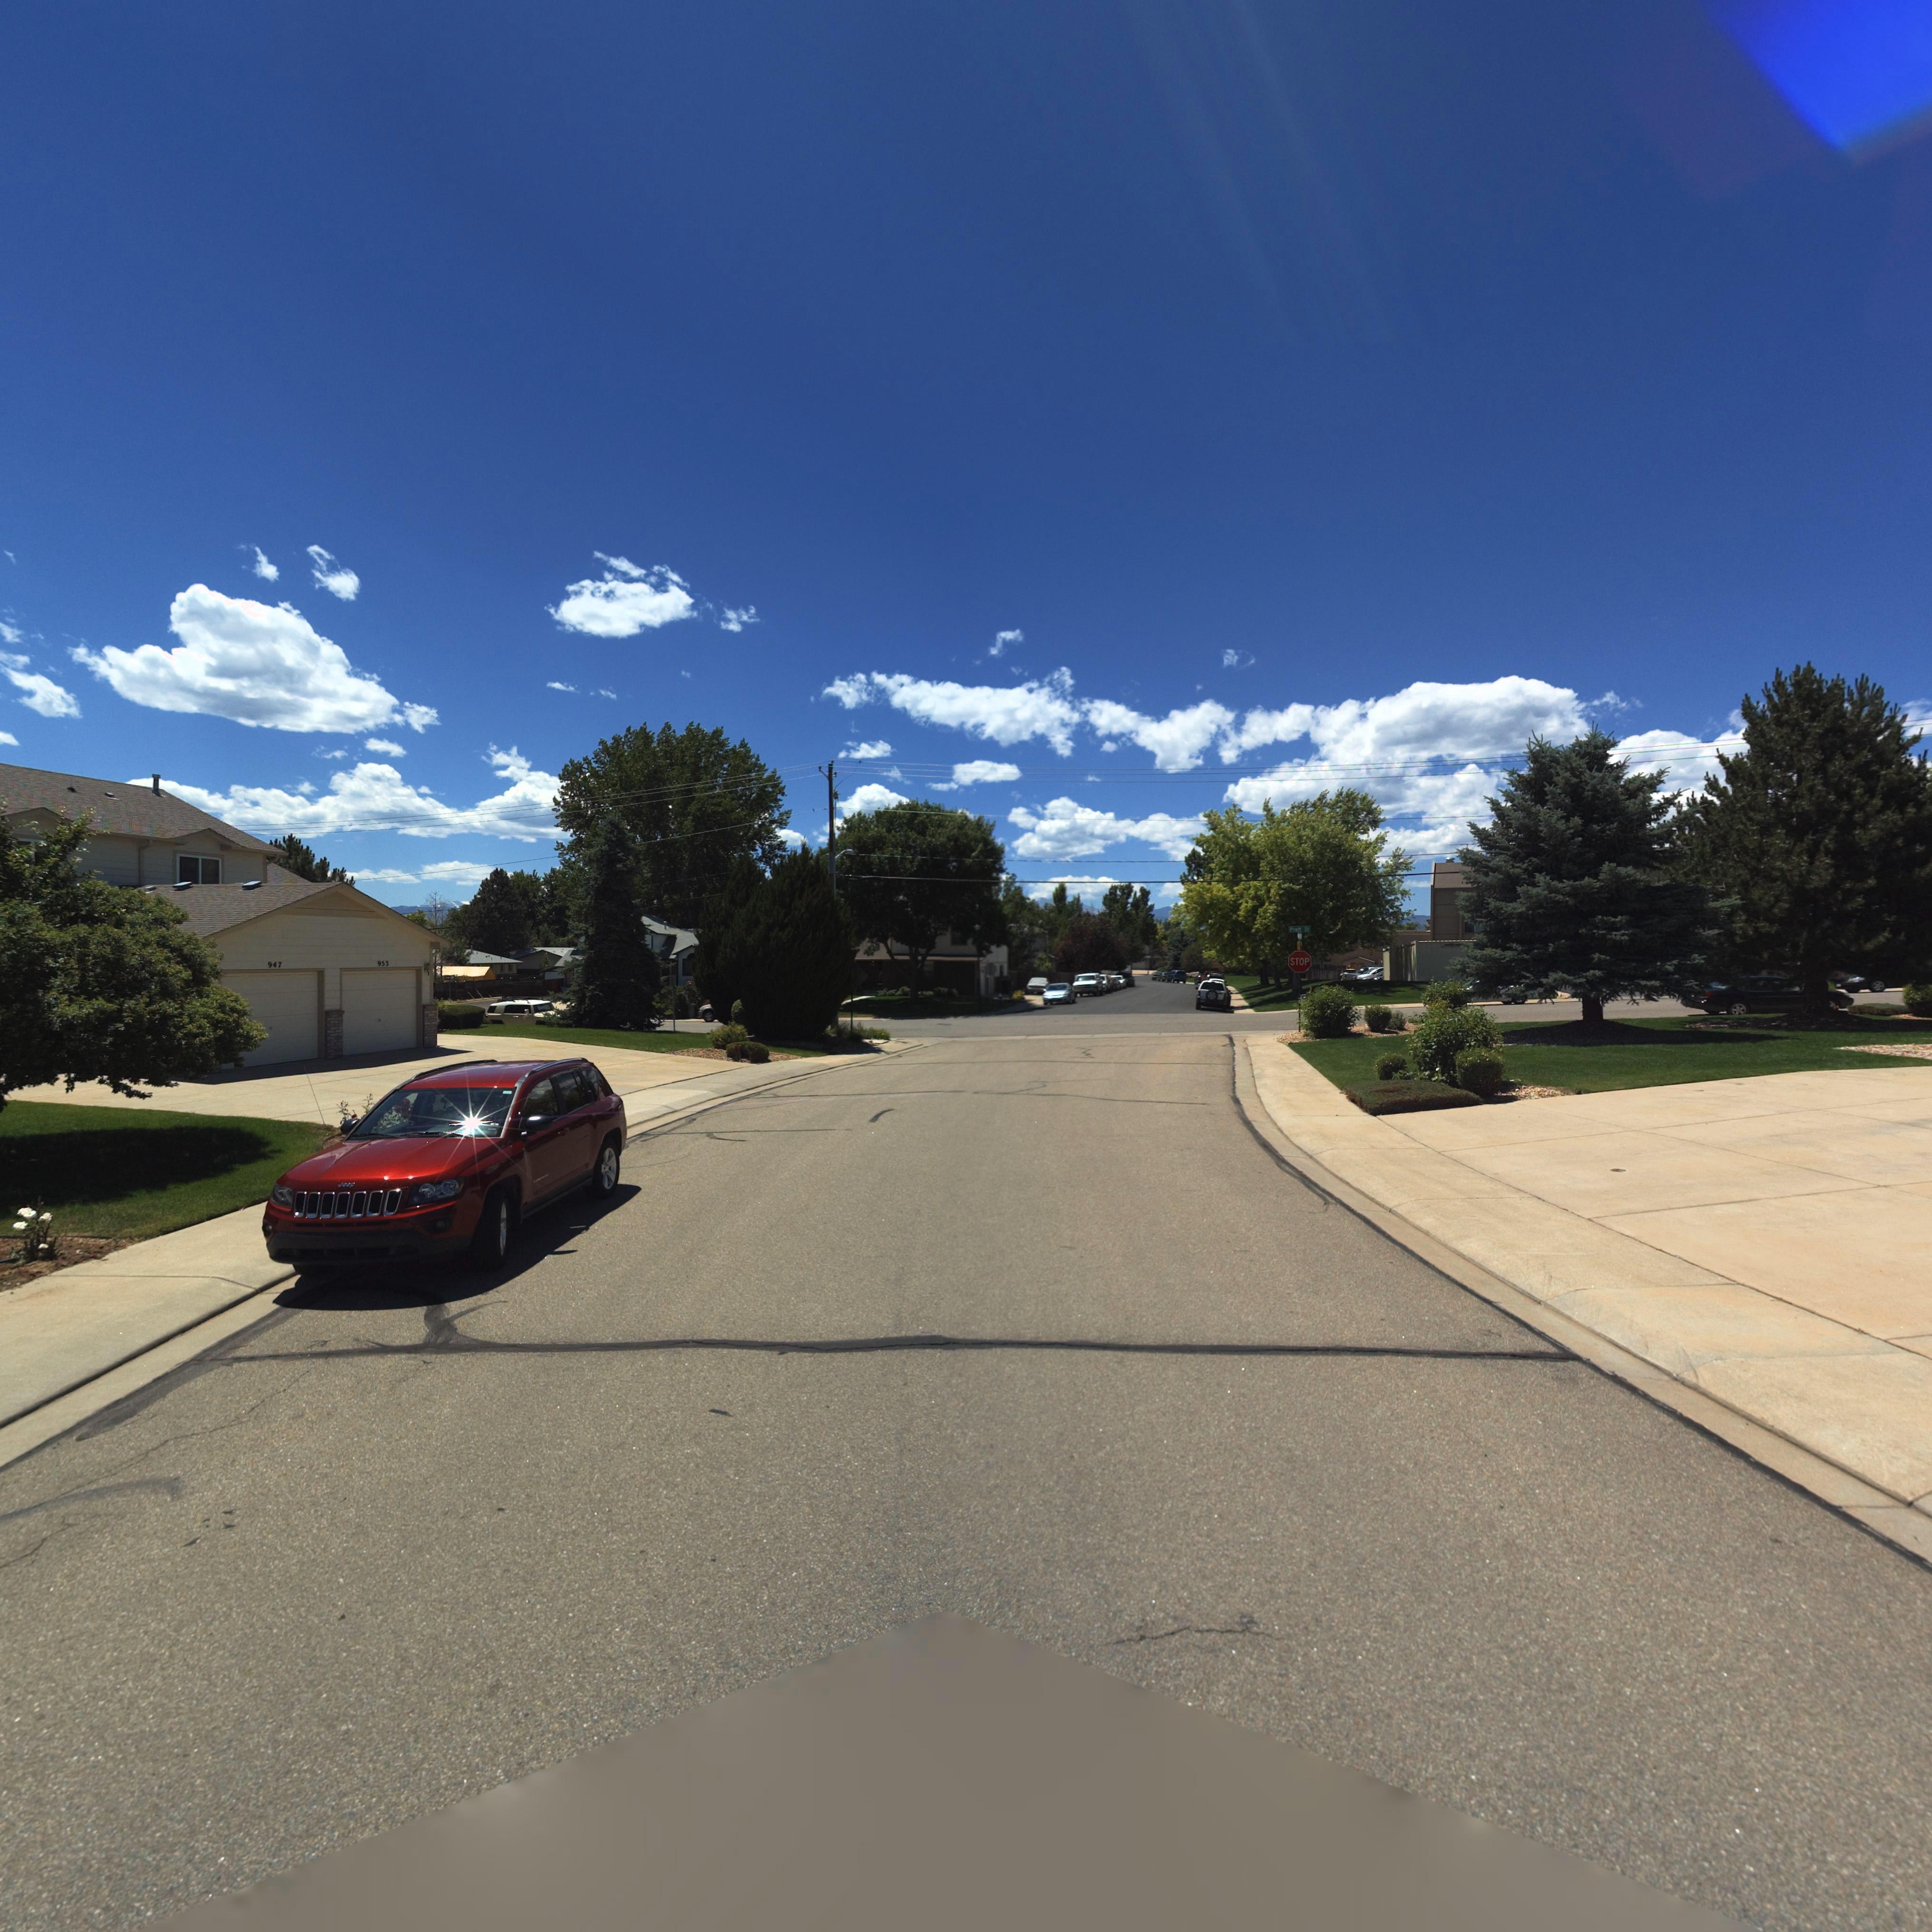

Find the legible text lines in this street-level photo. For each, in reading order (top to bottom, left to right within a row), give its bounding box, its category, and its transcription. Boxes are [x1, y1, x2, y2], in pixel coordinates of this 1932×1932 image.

[1289, 926, 1309, 932] StreetName: Pratt St
[267, 961, 282, 968] StreetNumber: 947
[377, 960, 389, 966] StreetNumber: 953